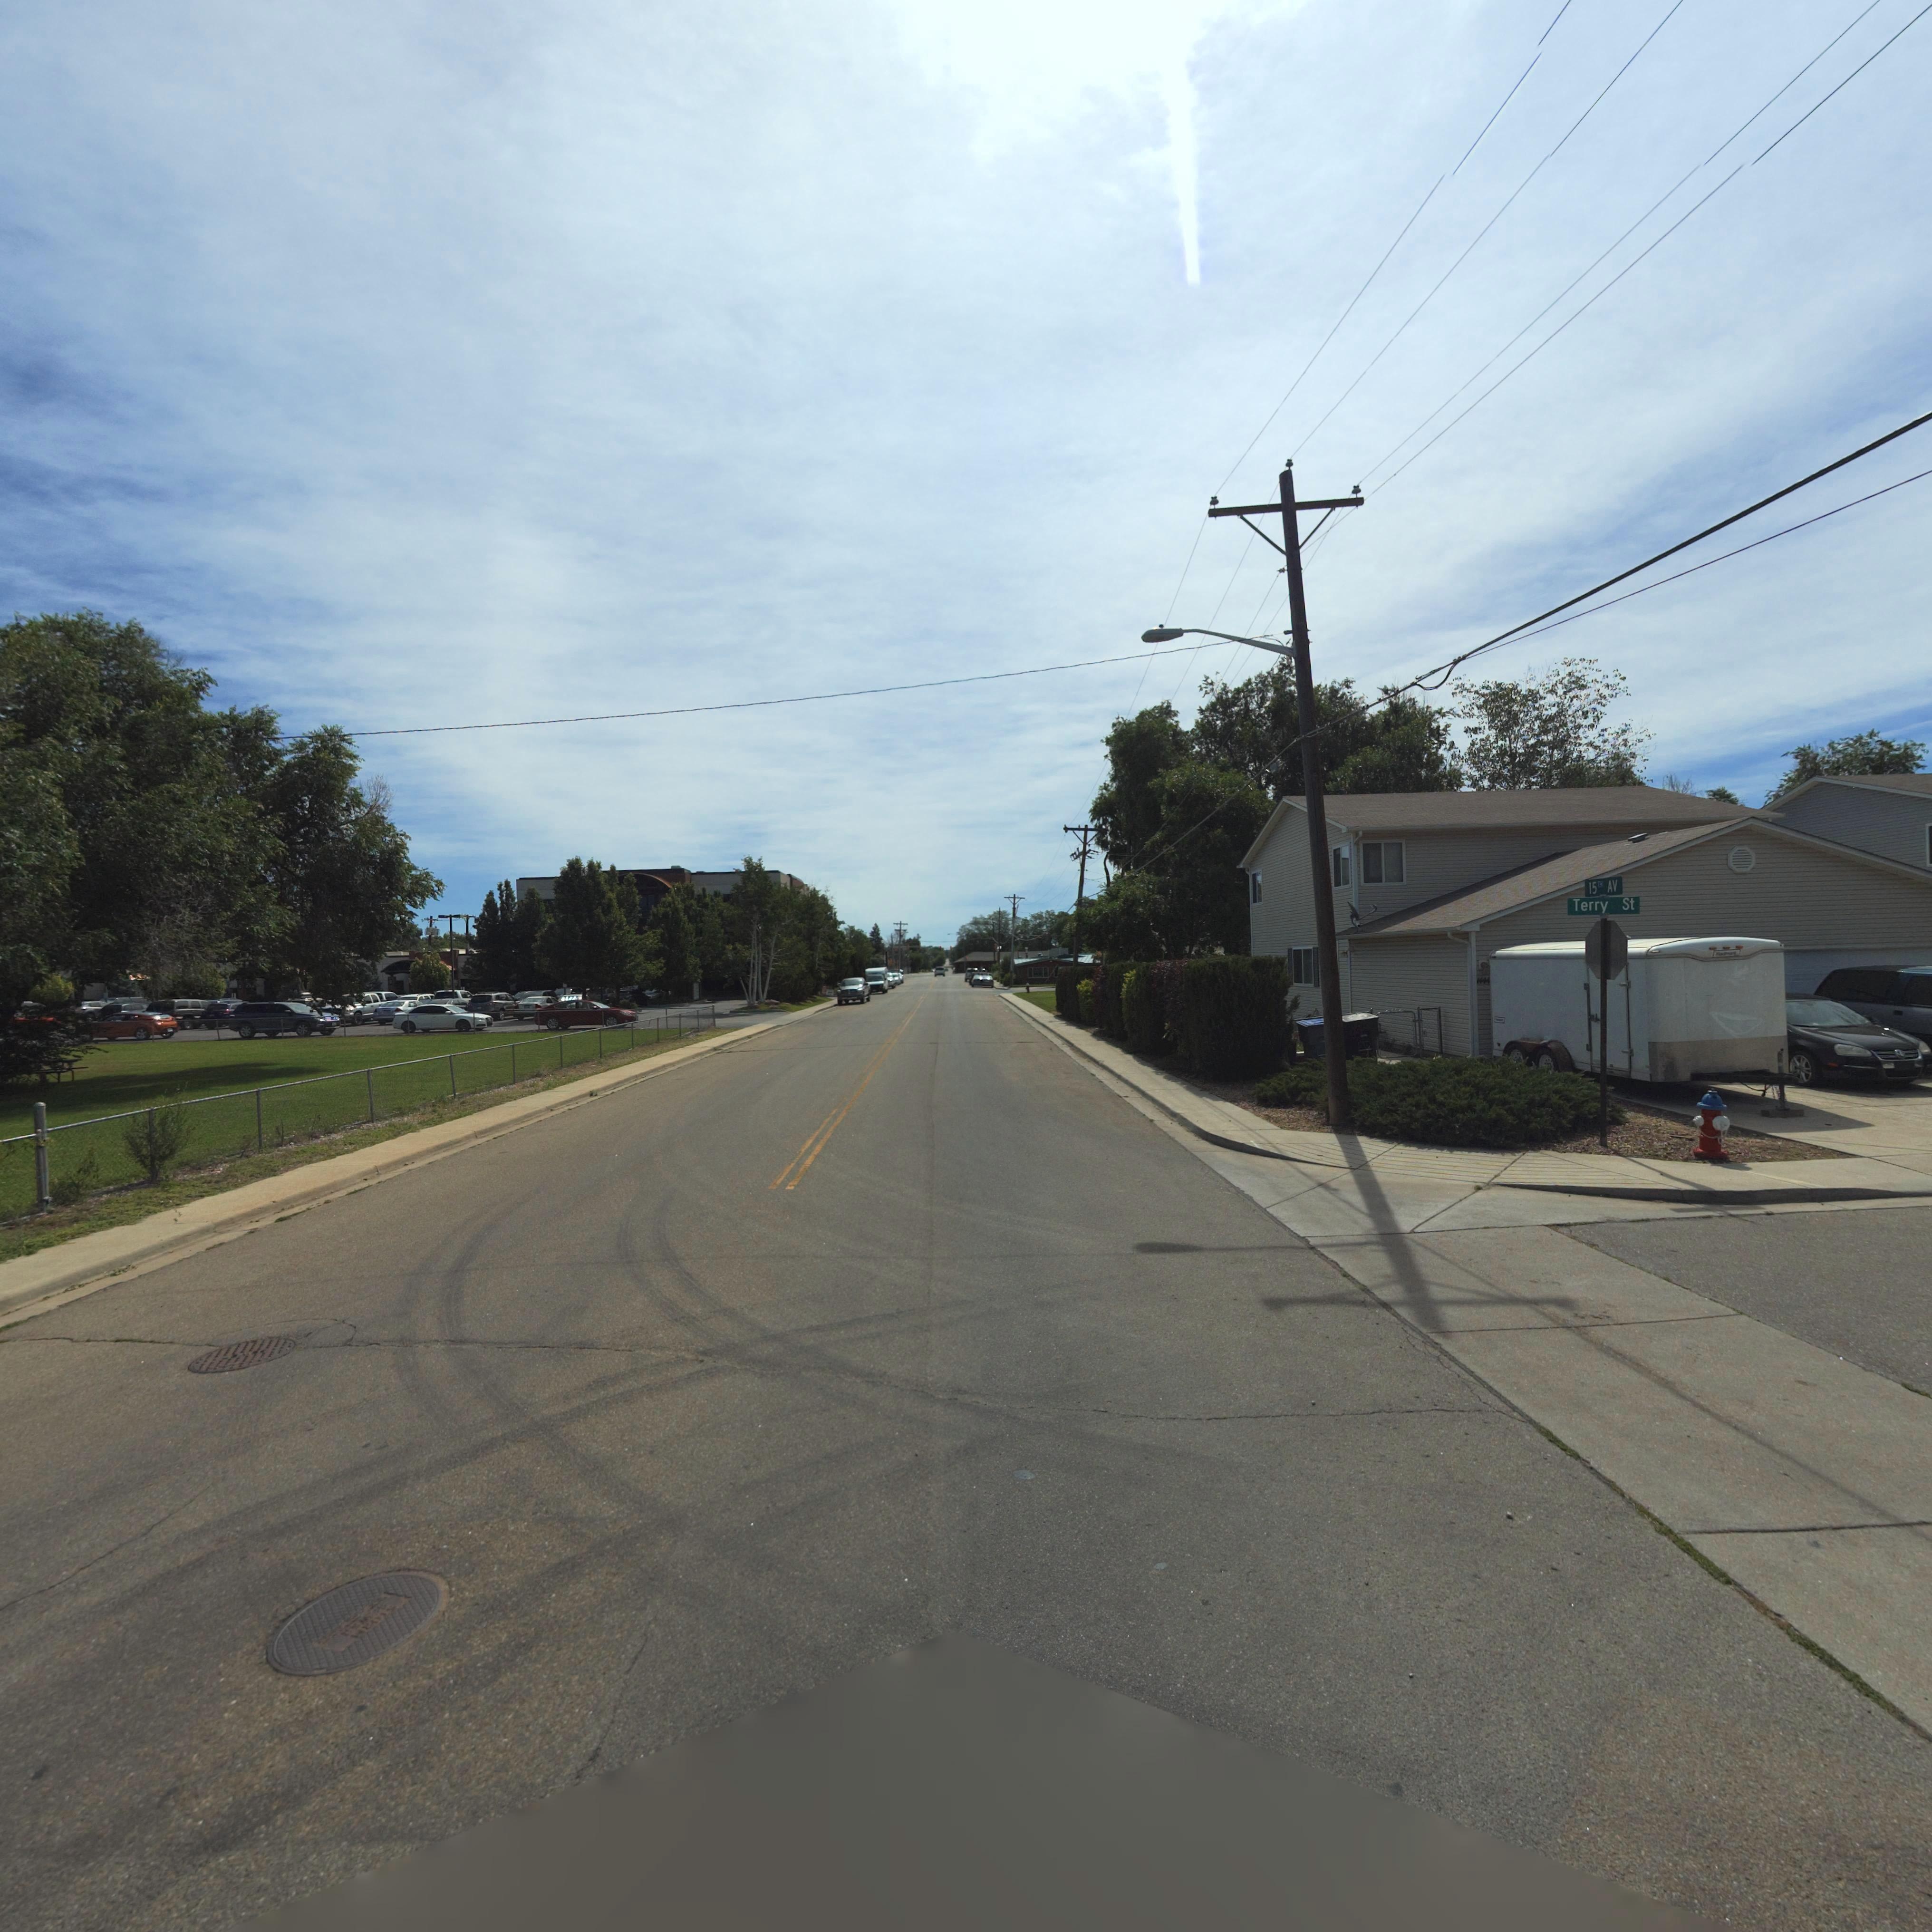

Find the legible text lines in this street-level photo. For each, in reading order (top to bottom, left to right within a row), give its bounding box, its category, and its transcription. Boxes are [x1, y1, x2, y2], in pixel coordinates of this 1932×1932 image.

[1587, 879, 1620, 895] StreetName: 15** AV
[1572, 897, 1635, 914] StreetName: Terry St
[1476, 976, 1490, 984] StreetNumber: 1444